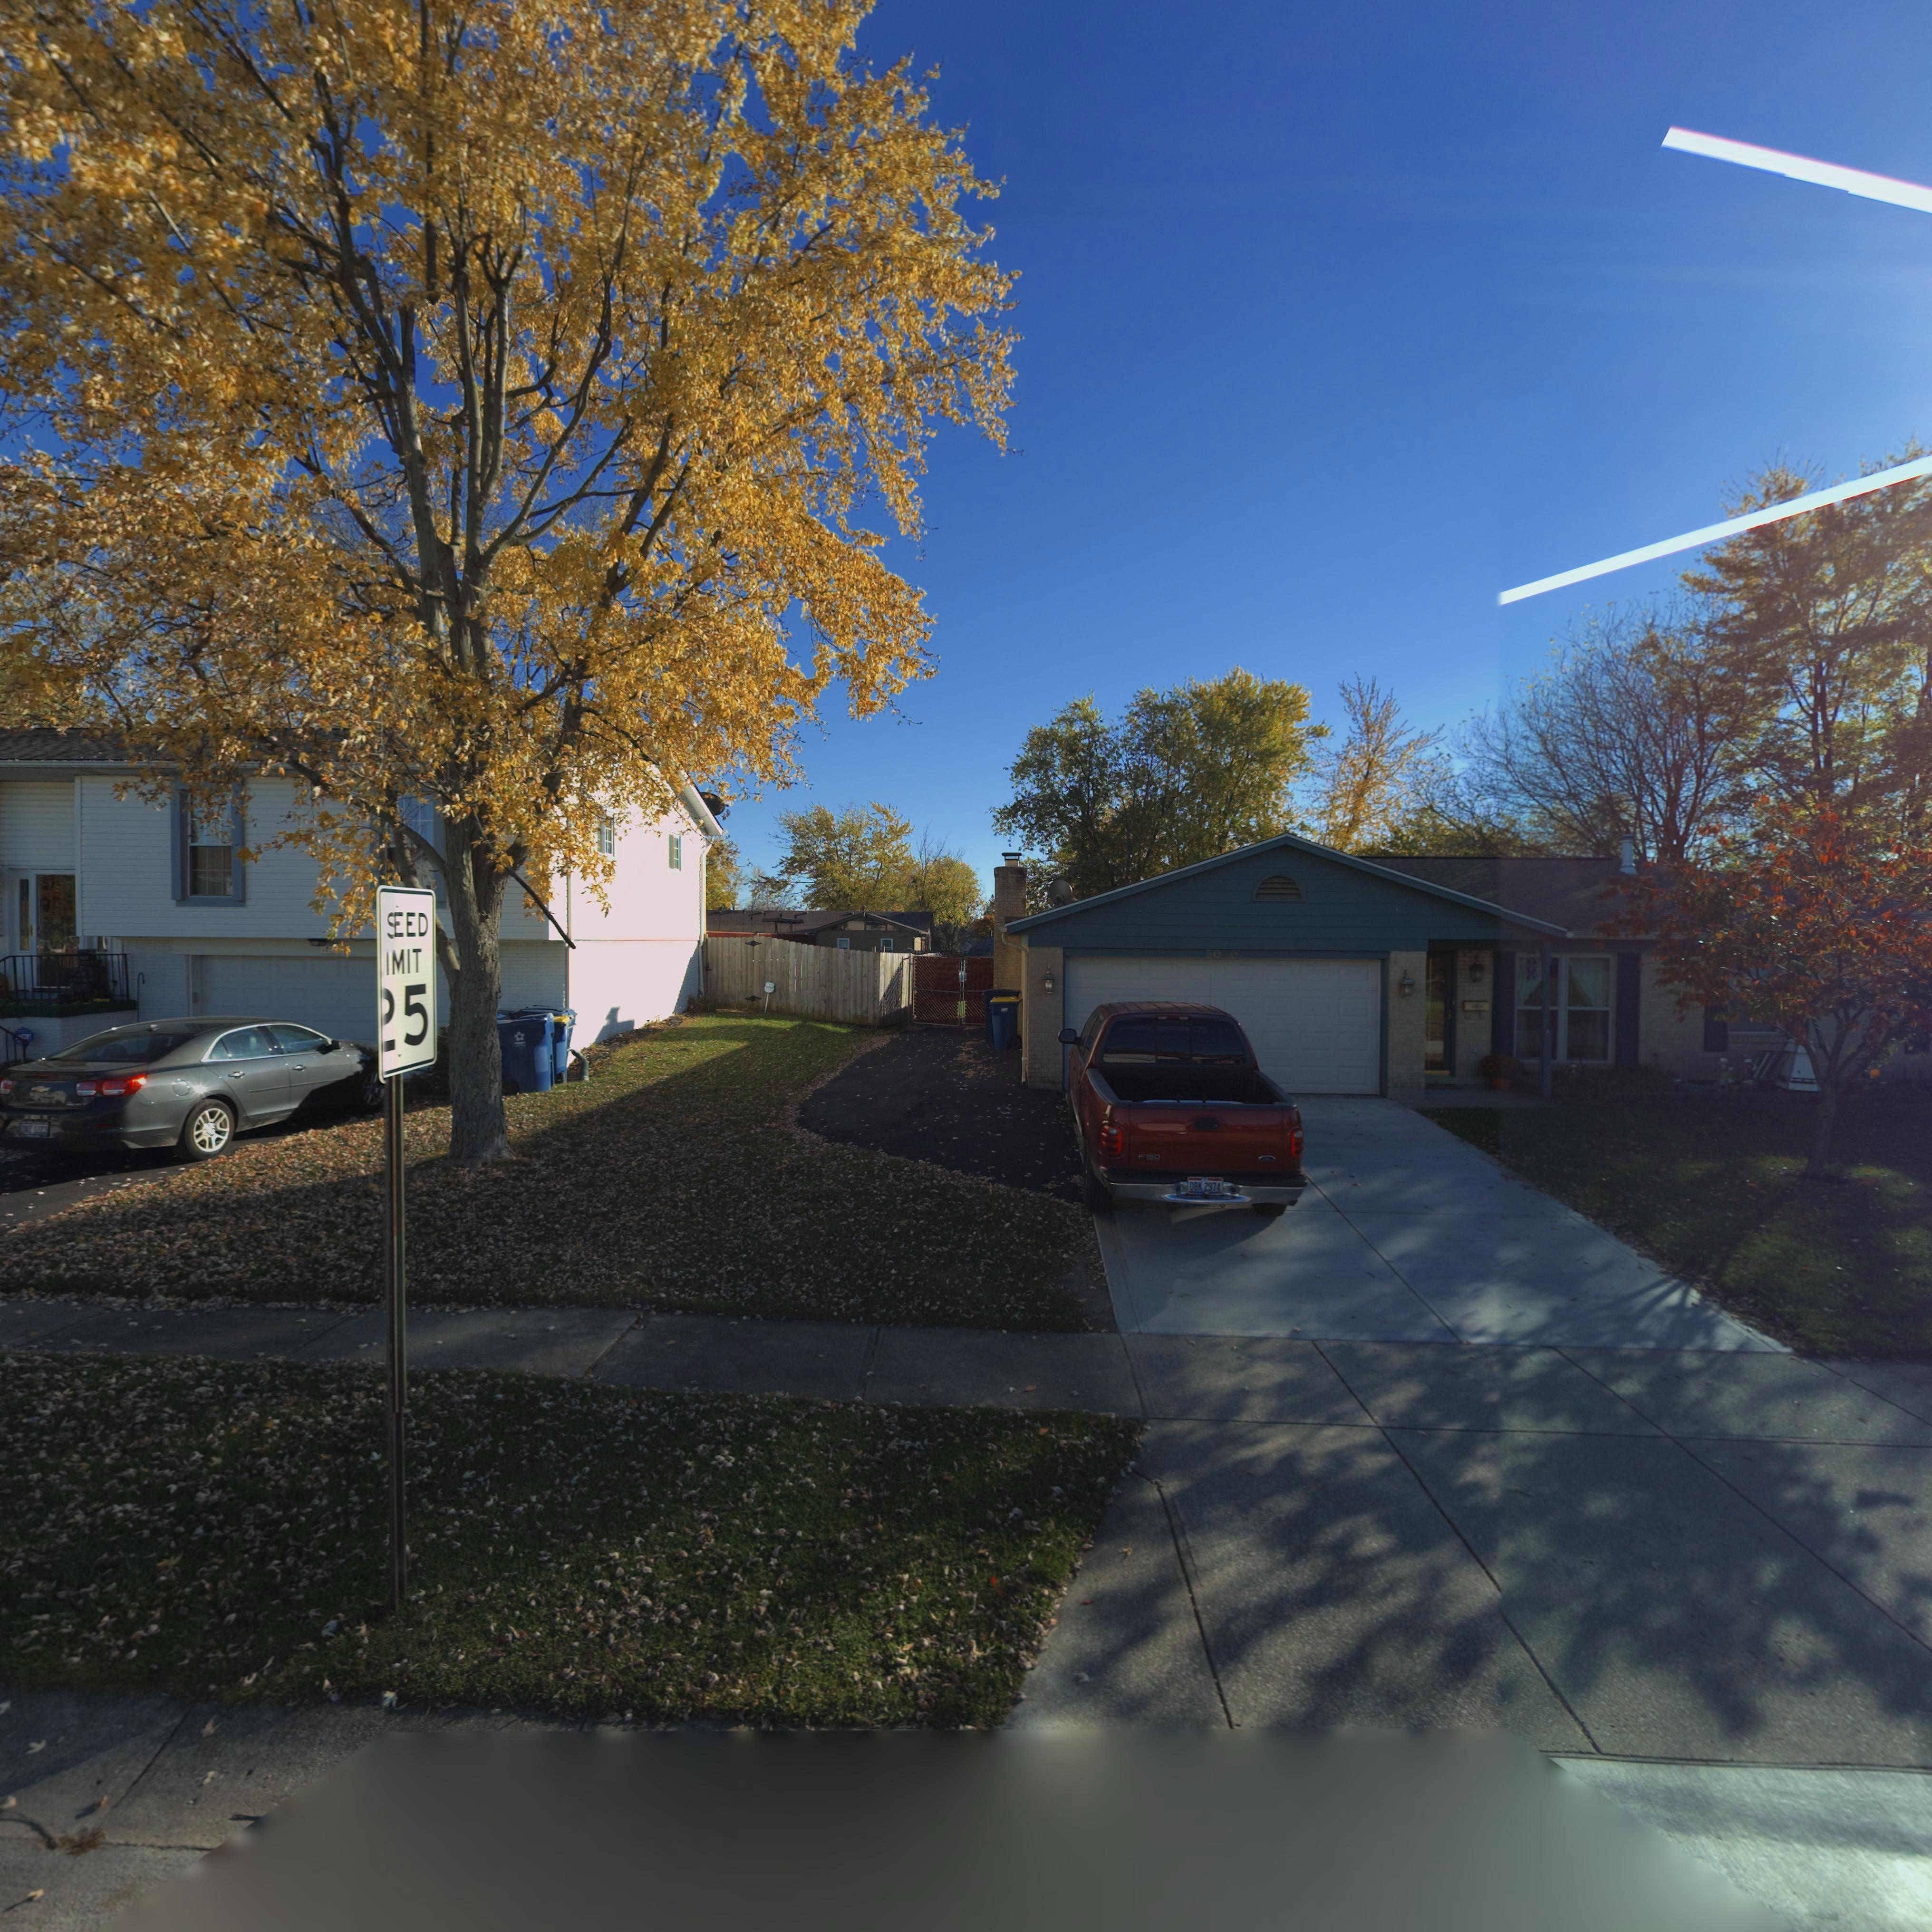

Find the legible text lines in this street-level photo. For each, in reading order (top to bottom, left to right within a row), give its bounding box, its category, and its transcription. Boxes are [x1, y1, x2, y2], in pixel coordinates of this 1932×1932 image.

[320, 946, 329, 953] StreetNumber: 50
[1205, 949, 1238, 960] StreetNumber: 5030